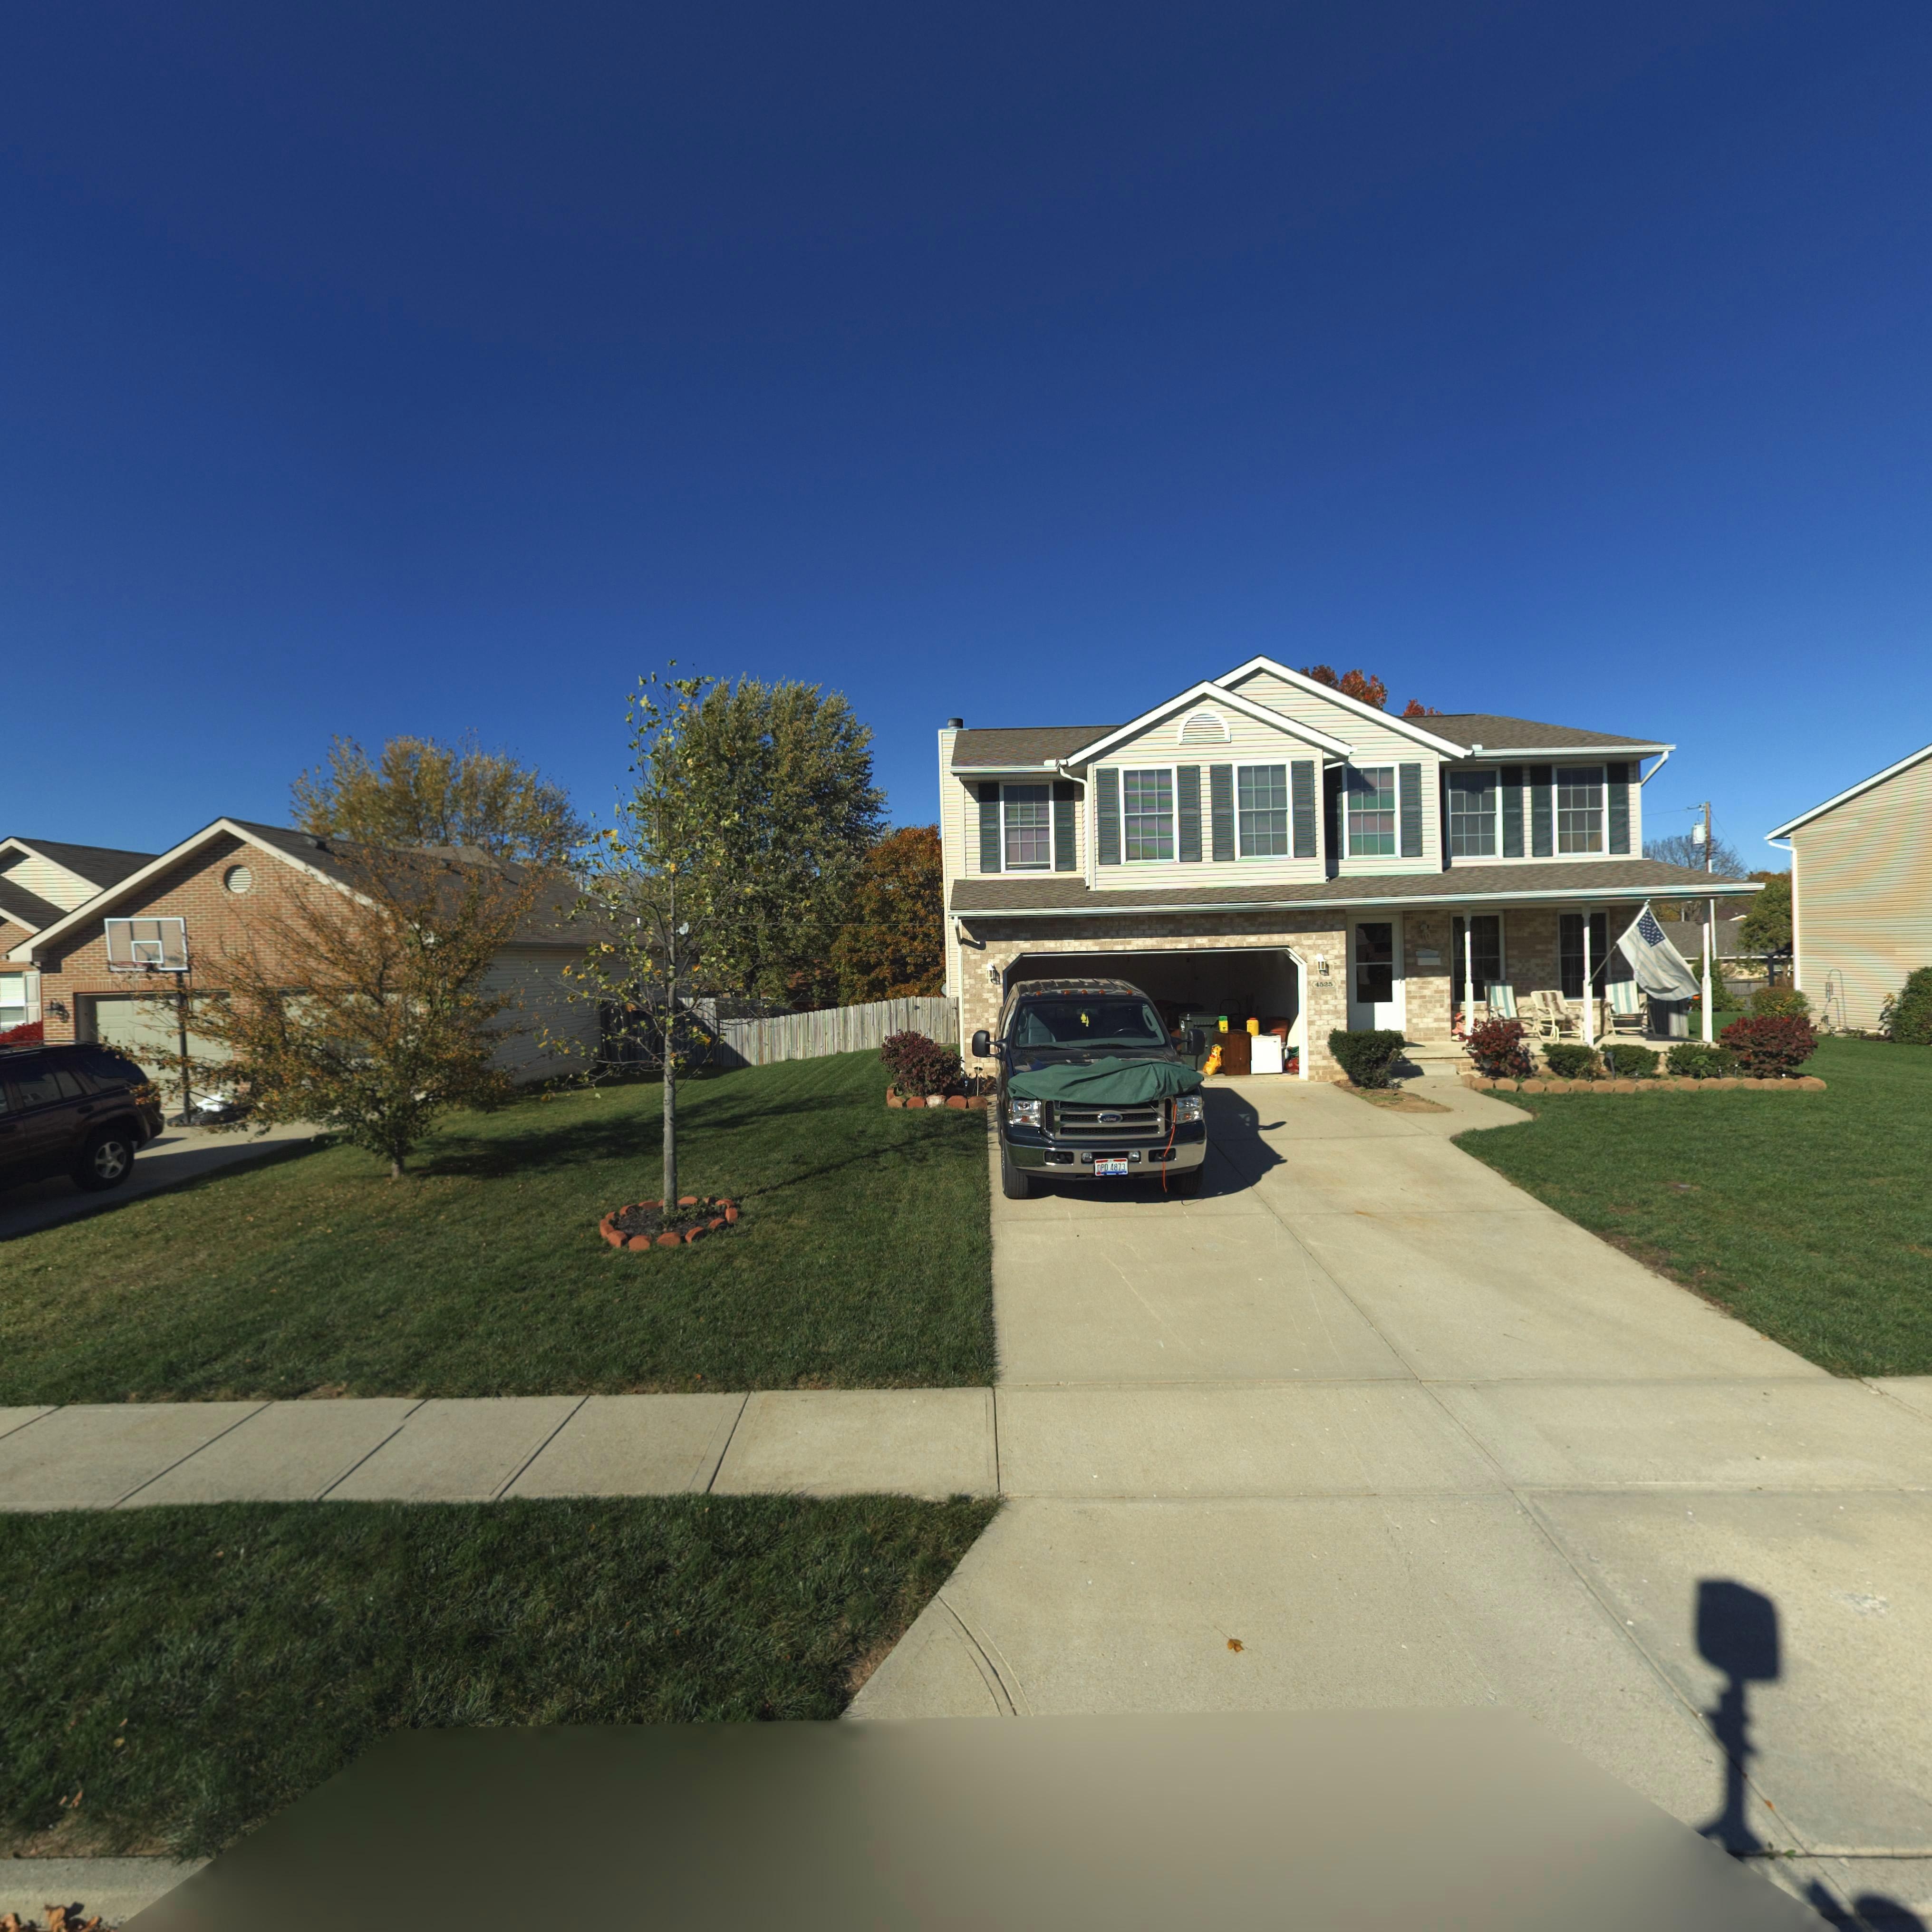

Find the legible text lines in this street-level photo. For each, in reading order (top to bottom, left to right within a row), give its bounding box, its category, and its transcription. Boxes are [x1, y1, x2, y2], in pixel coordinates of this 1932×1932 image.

[1314, 981, 1334, 988] StreetNumber: 4525
[1097, 1163, 1126, 1172] None: OPD*4873